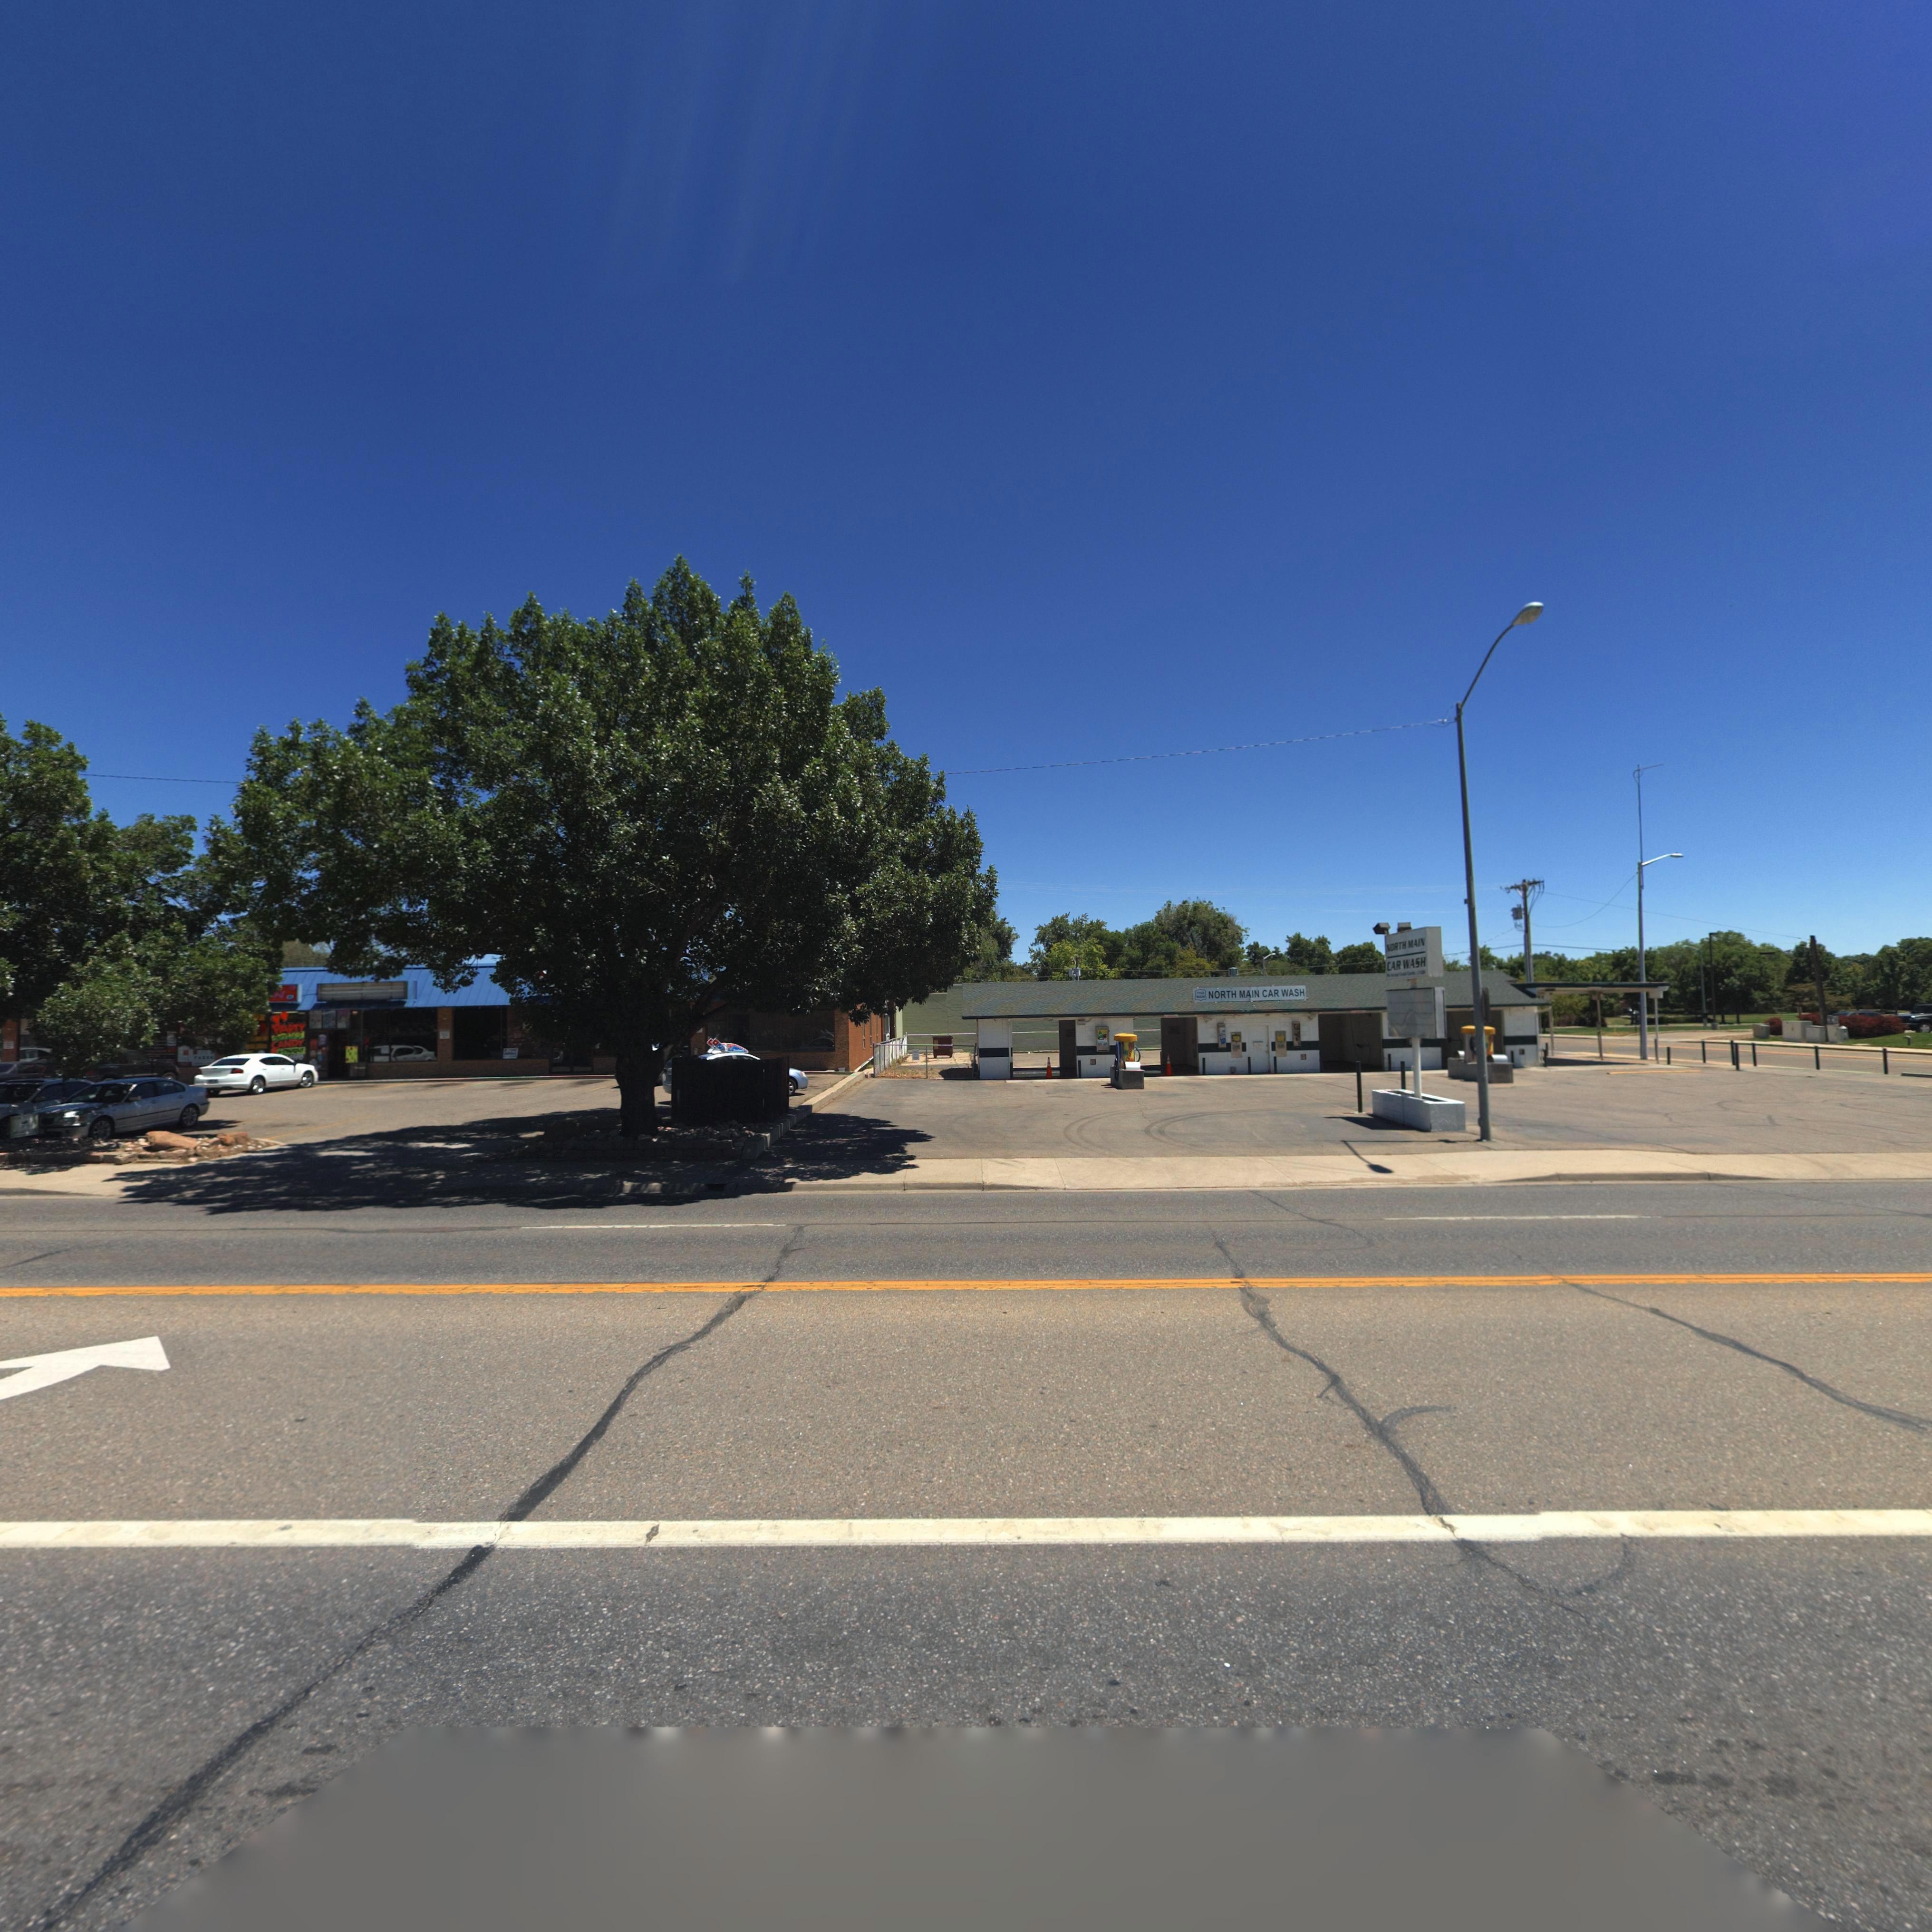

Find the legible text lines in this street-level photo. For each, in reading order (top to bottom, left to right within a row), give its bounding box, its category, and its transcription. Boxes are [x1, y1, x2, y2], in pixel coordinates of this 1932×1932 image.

[1386, 937, 1425, 952] BusinessName: NORTH MAIN
[1386, 956, 1426, 971] BusinessName: CAR WASH
[278, 991, 286, 999] BusinessName: s
[1208, 988, 1305, 999] BusinessName: NORTH MAIN CARWASH